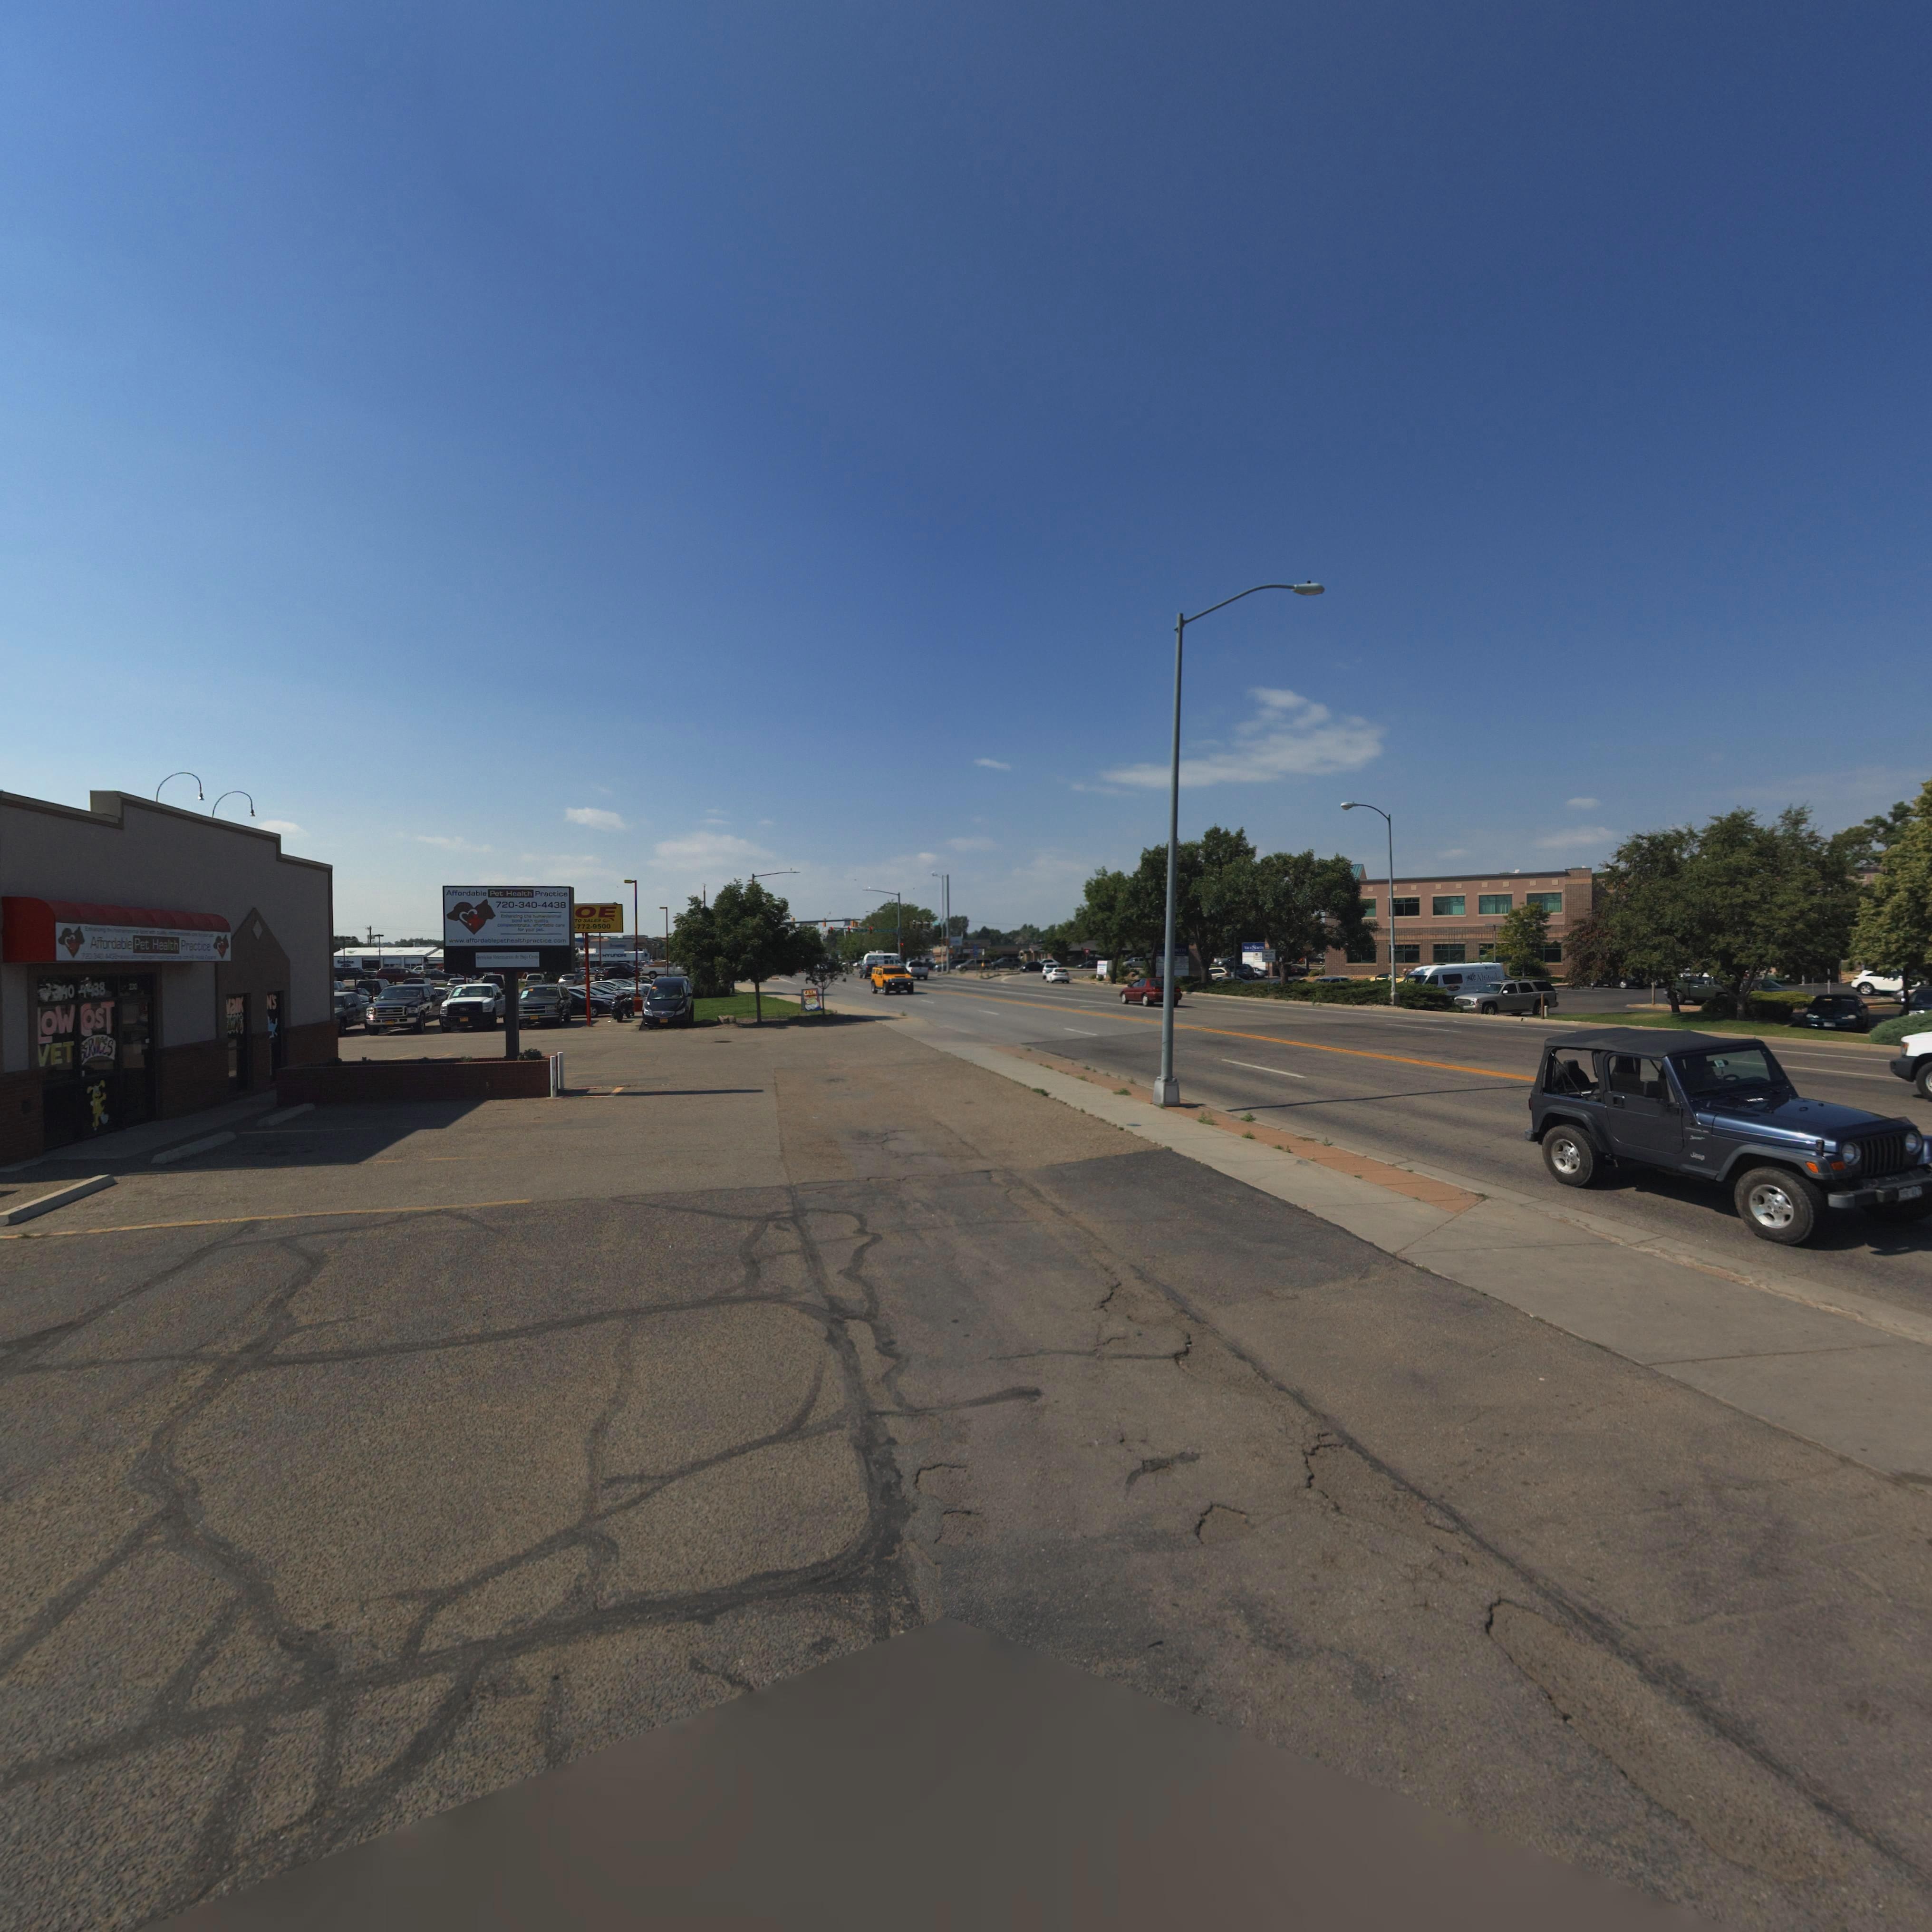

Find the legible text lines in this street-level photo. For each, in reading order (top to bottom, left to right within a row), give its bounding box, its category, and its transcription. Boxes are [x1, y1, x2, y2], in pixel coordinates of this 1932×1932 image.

[445, 889, 568, 897] BusinessName: Affordable Pet Health Practice
[575, 906, 617, 918] BusinessName: OE
[574, 918, 601, 922] BusinessName: TO SALES
[88, 935, 212, 952] BusinessName: Affordable Pet Health Practice
[602, 953, 626, 957] BusinessName: HYUnDAI